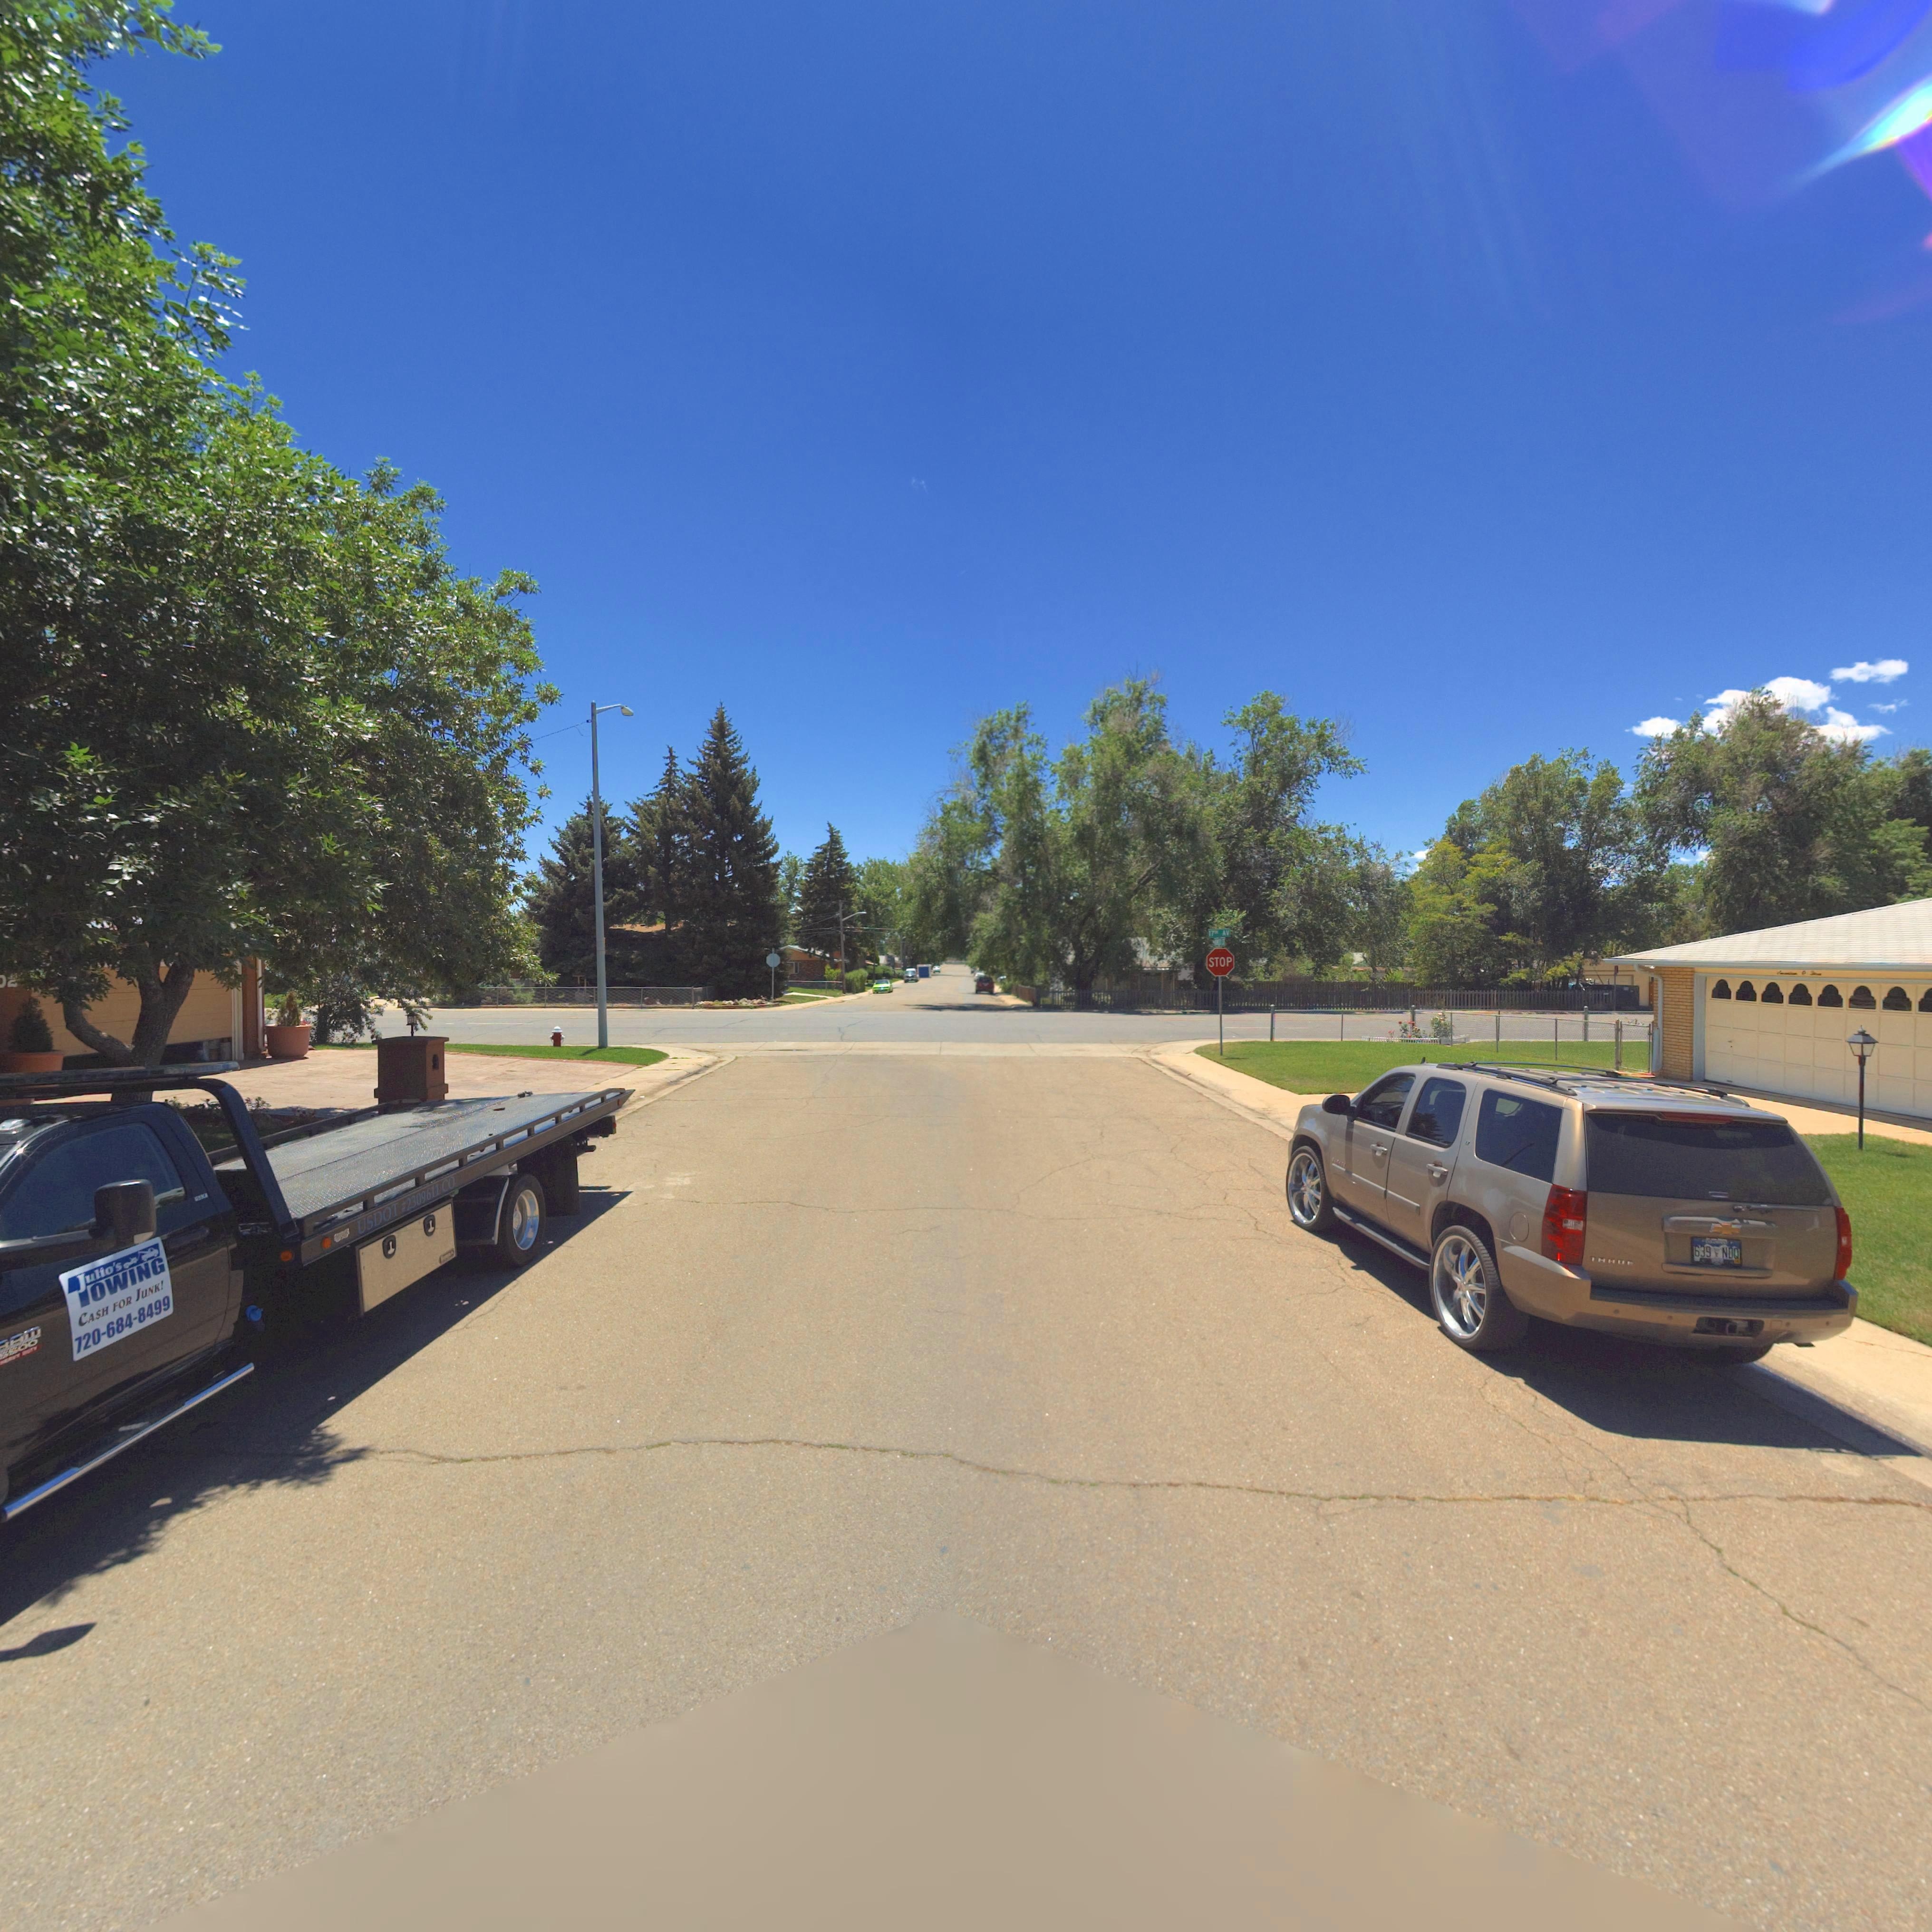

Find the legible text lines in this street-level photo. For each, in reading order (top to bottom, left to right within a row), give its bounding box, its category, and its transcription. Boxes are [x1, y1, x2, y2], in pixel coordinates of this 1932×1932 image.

[1208, 929, 1229, 937] StreetName: 17** AV